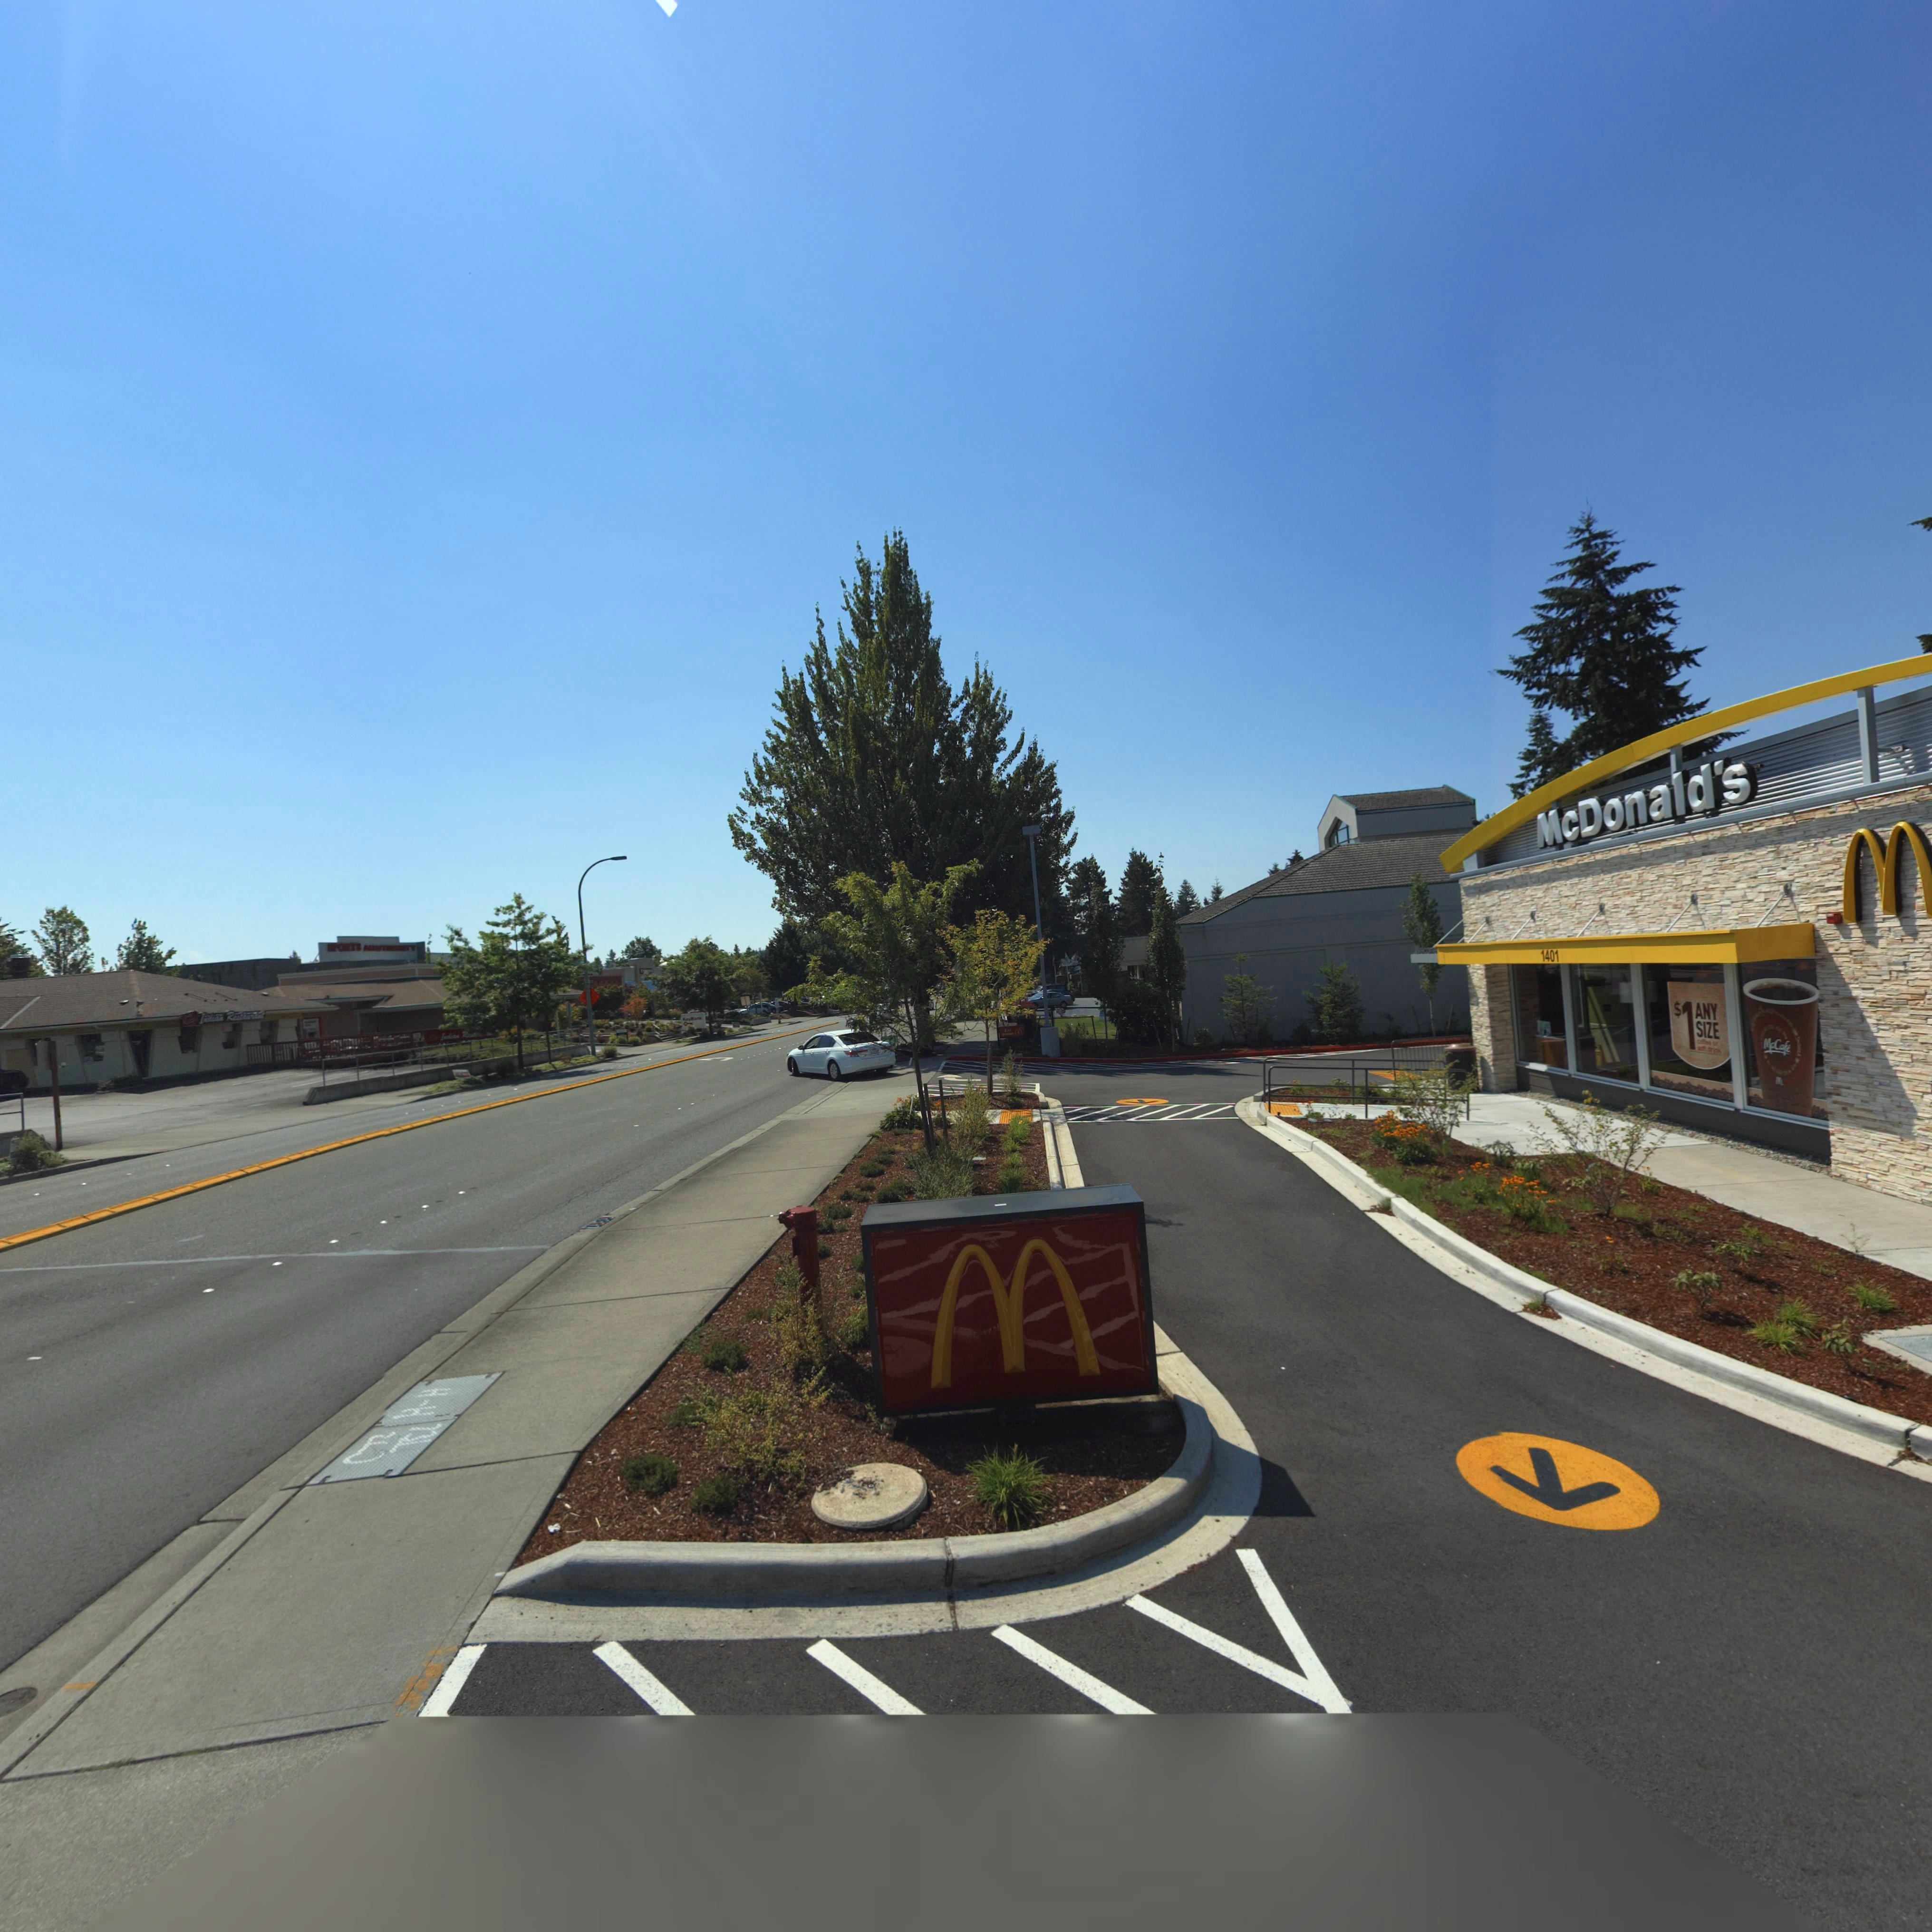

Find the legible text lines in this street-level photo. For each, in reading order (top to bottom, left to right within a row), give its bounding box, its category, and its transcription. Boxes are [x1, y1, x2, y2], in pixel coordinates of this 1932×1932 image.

[1535, 750, 1759, 850] BusinessName: McDonald's
[1540, 949, 1559, 962] StreetNumber: 1401